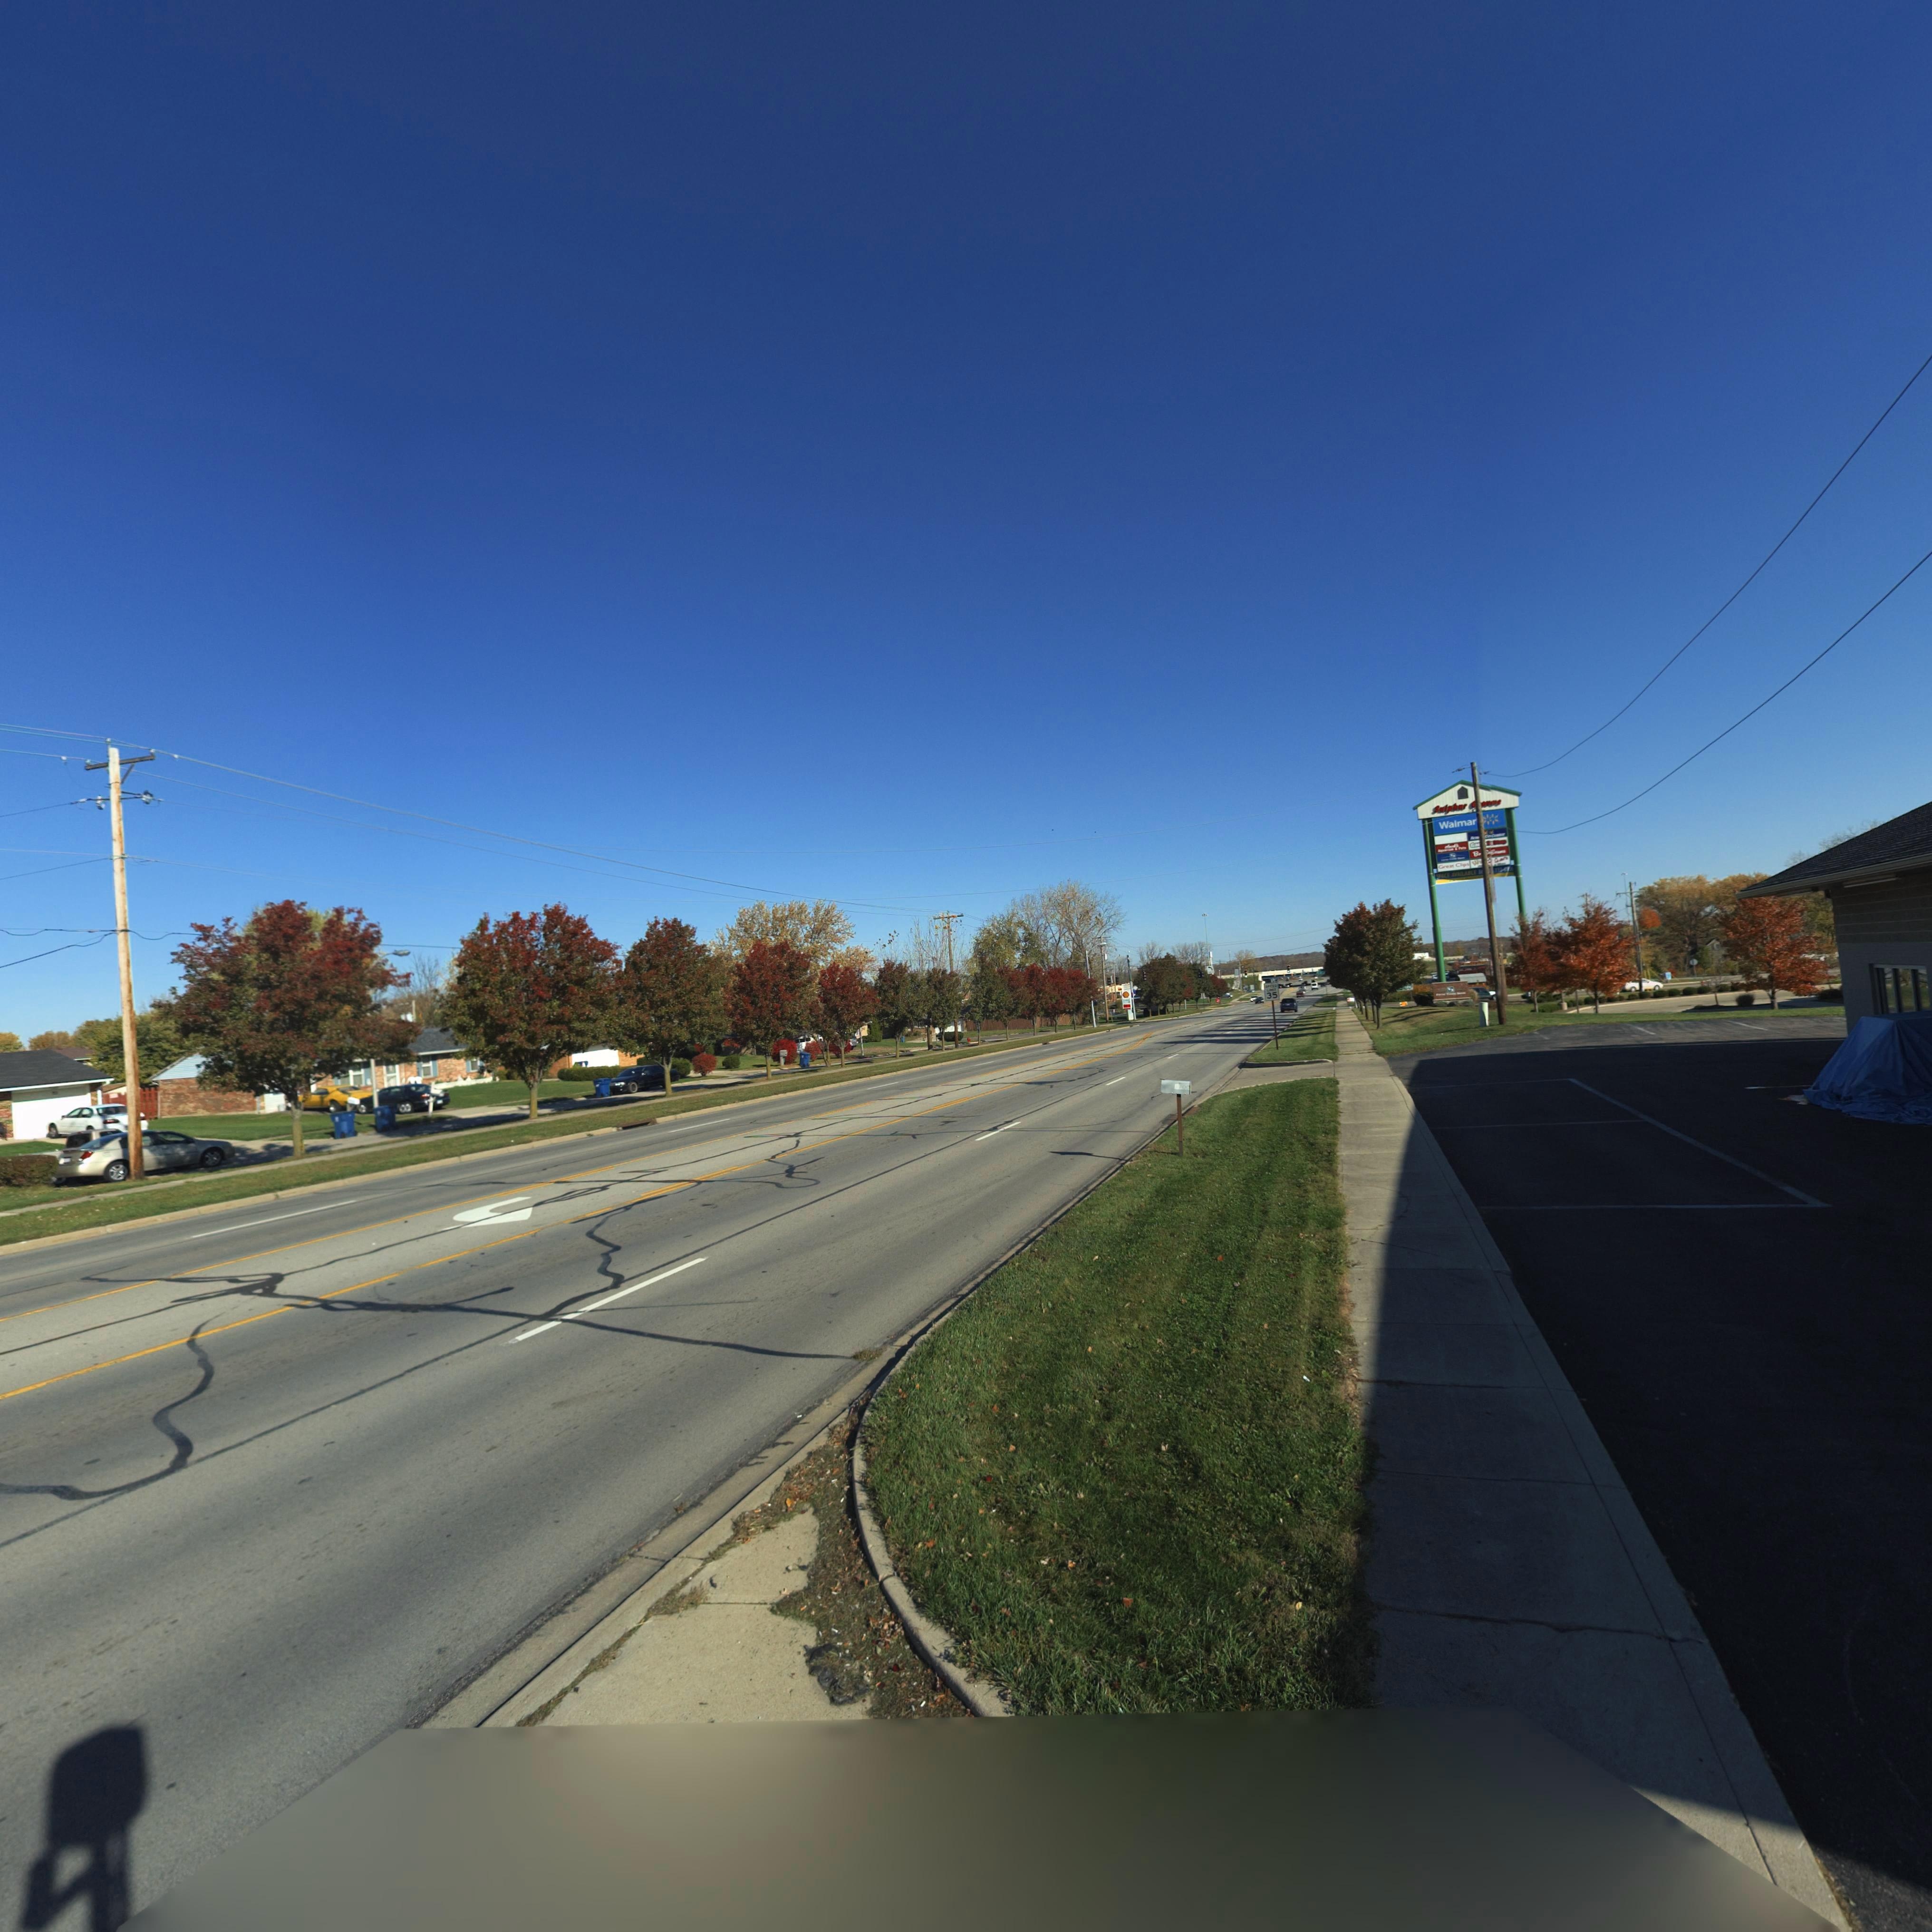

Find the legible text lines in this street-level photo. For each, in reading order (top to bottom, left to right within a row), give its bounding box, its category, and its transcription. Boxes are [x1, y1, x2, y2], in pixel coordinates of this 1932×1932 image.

[1178, 1084, 1191, 1091] StreetNumber: 700